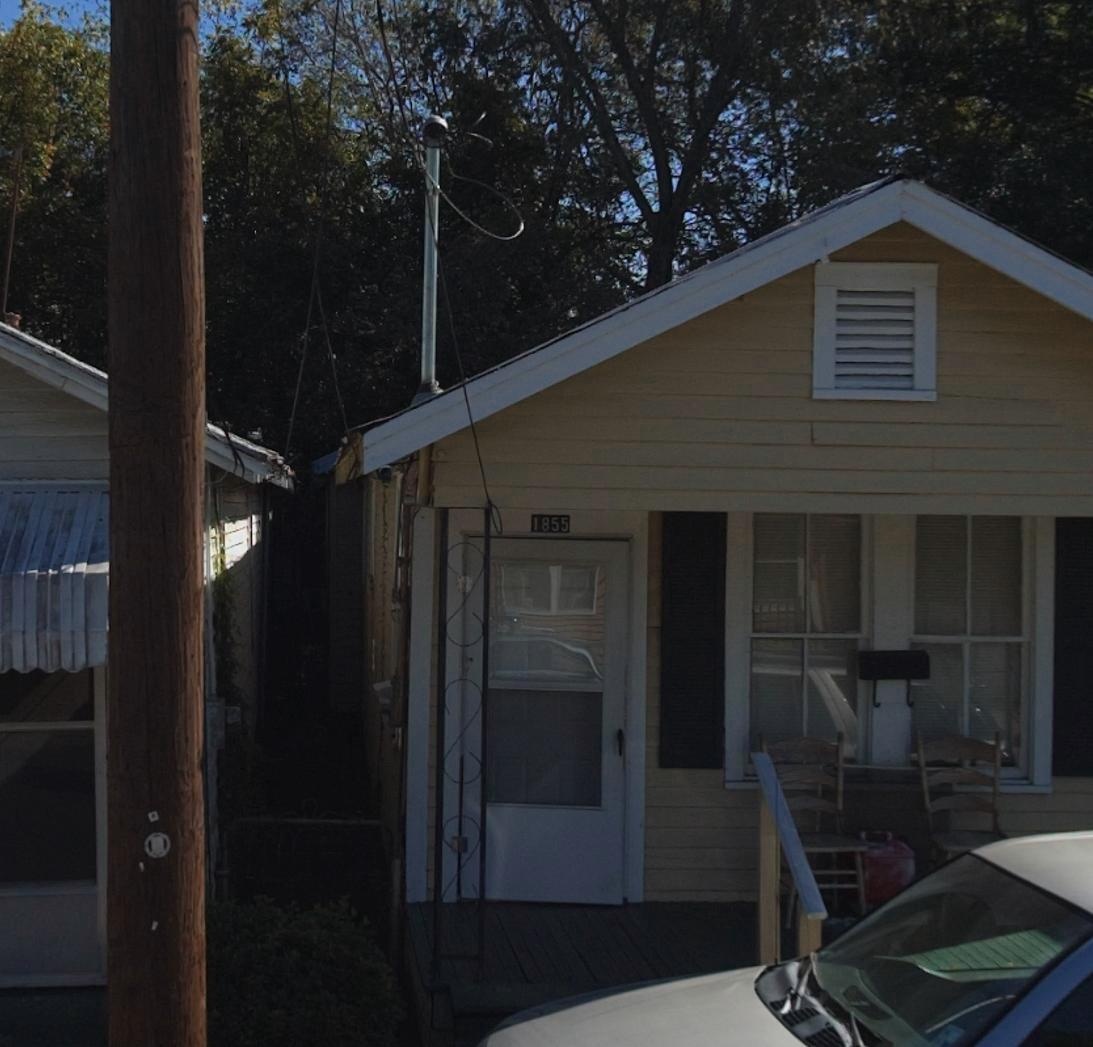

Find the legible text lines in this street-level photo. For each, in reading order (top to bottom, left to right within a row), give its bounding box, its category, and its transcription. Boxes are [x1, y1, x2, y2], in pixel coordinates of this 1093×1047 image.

[531, 515, 570, 533] StreetNumber: 1855